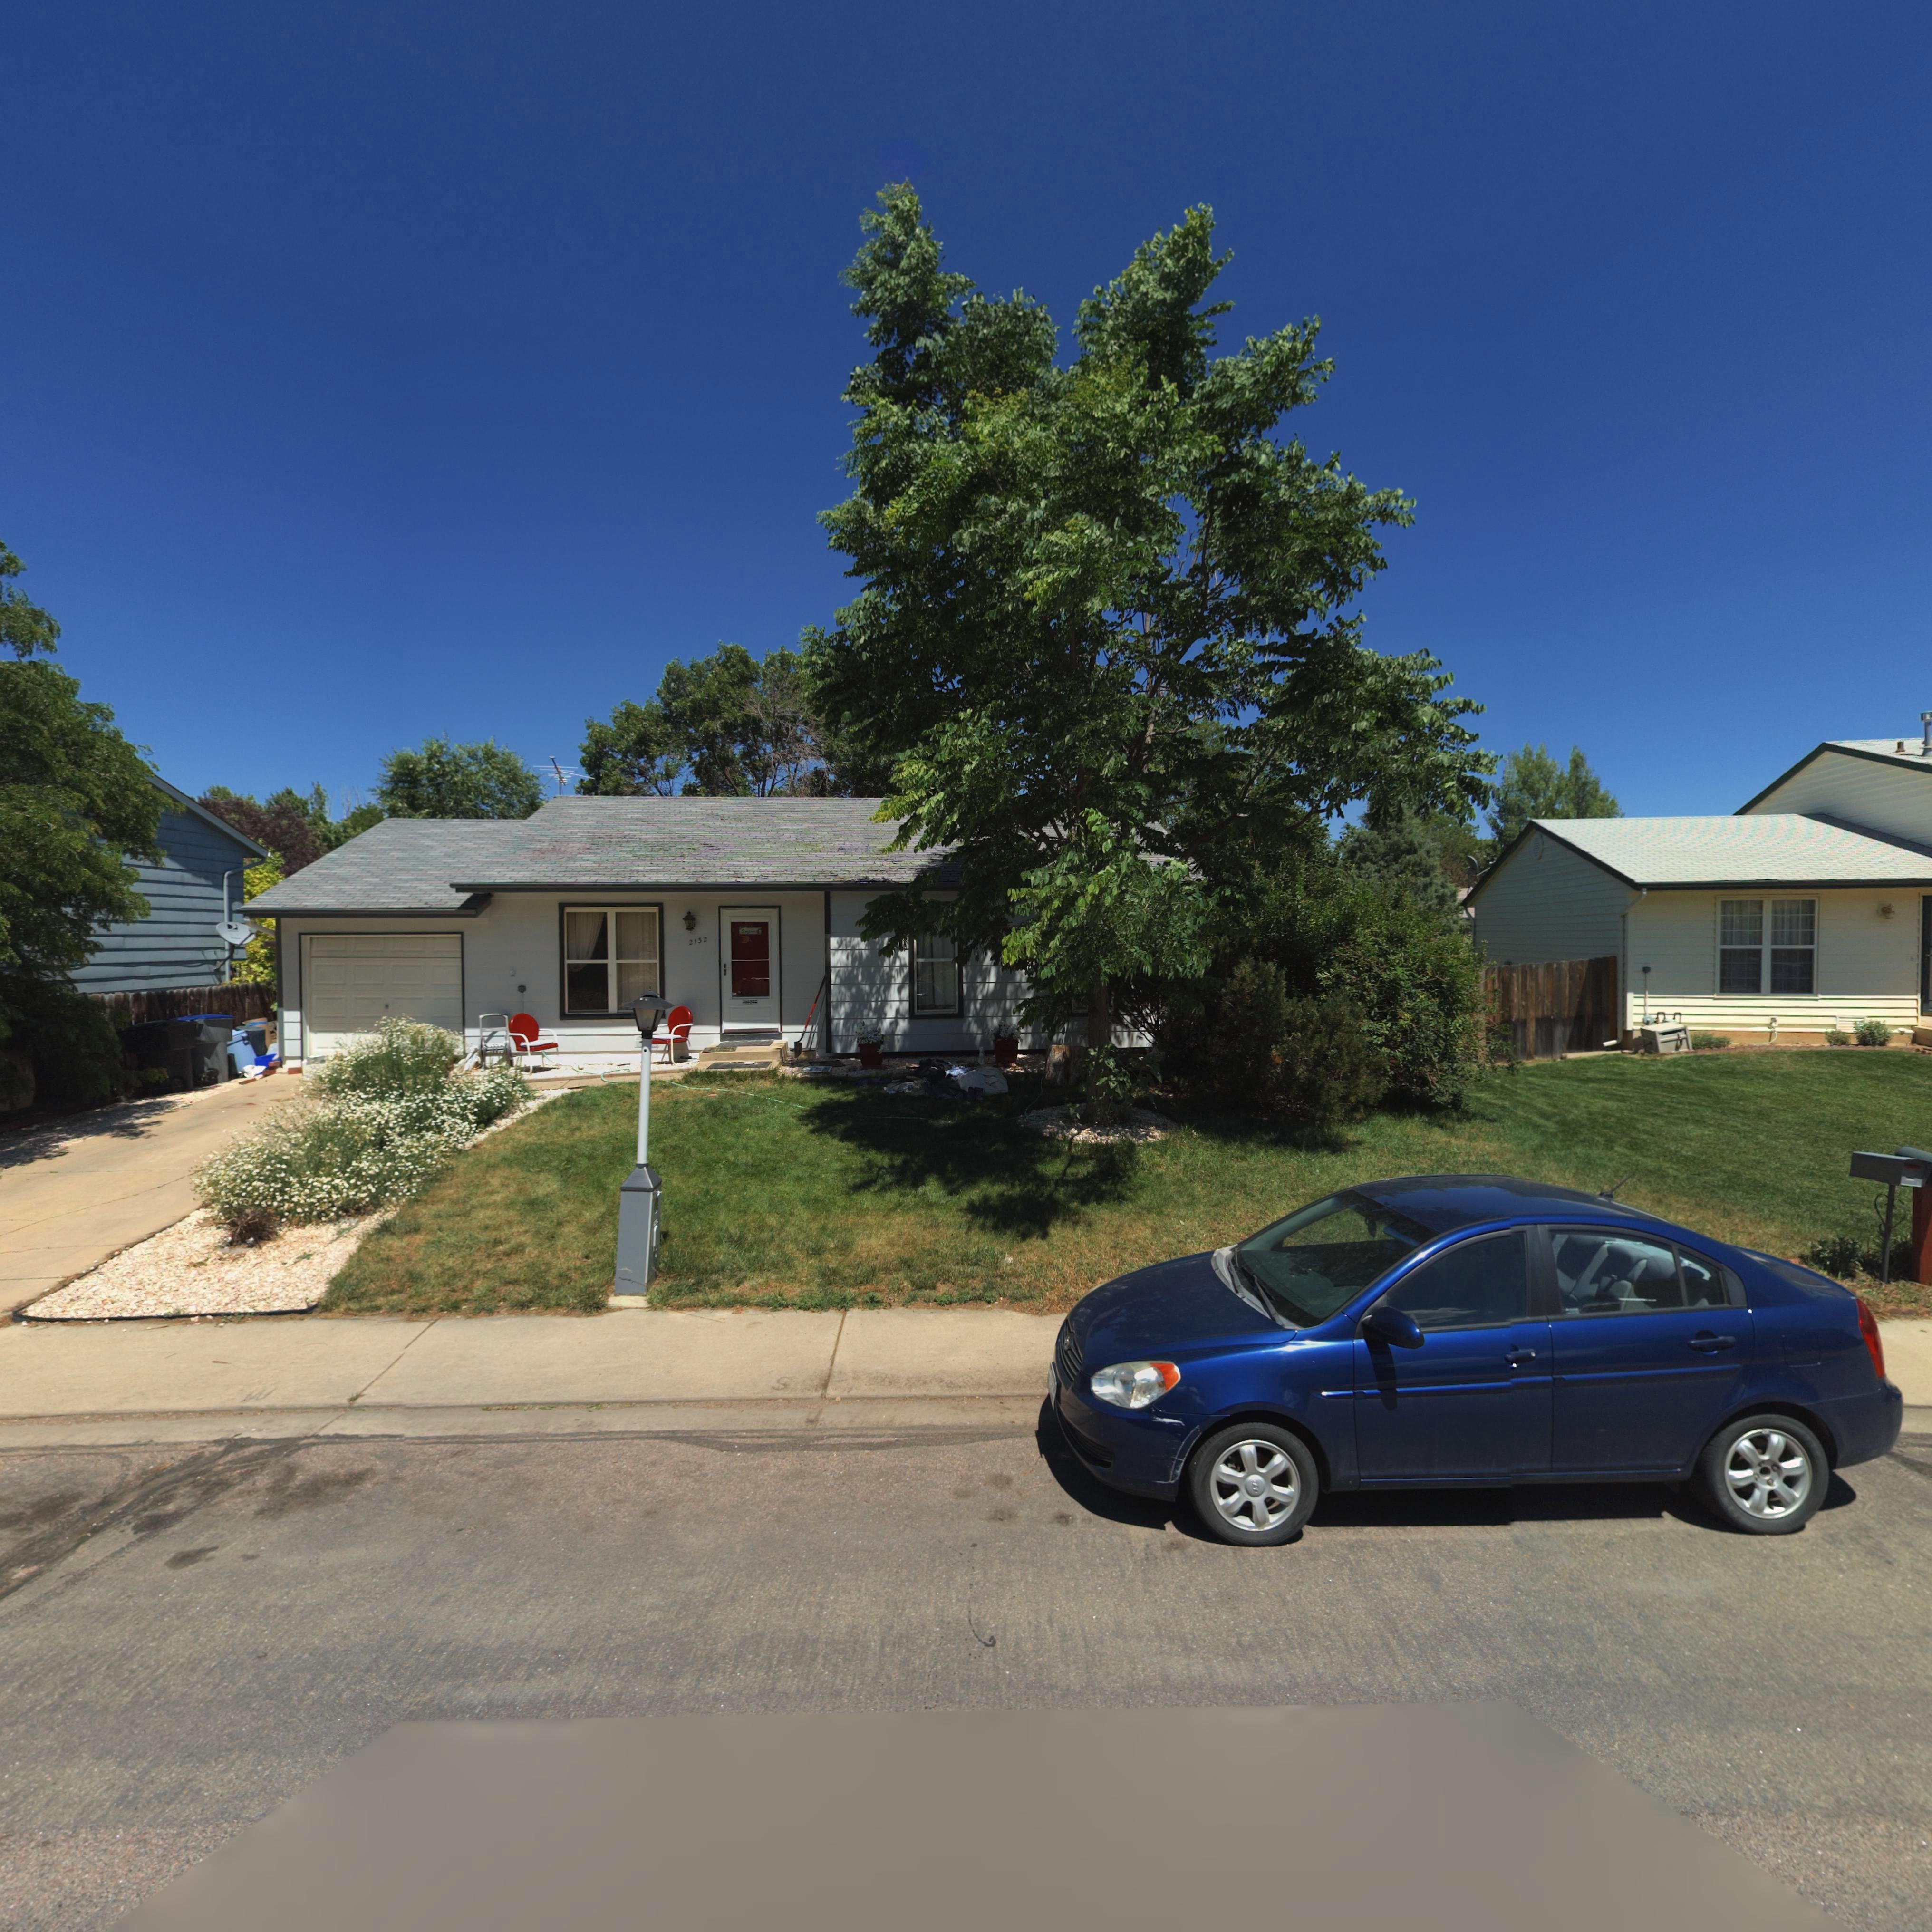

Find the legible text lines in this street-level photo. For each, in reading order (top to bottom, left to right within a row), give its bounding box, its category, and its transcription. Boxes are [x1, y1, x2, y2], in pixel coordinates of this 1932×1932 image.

[687, 935, 707, 946] StreetNumber: 2132